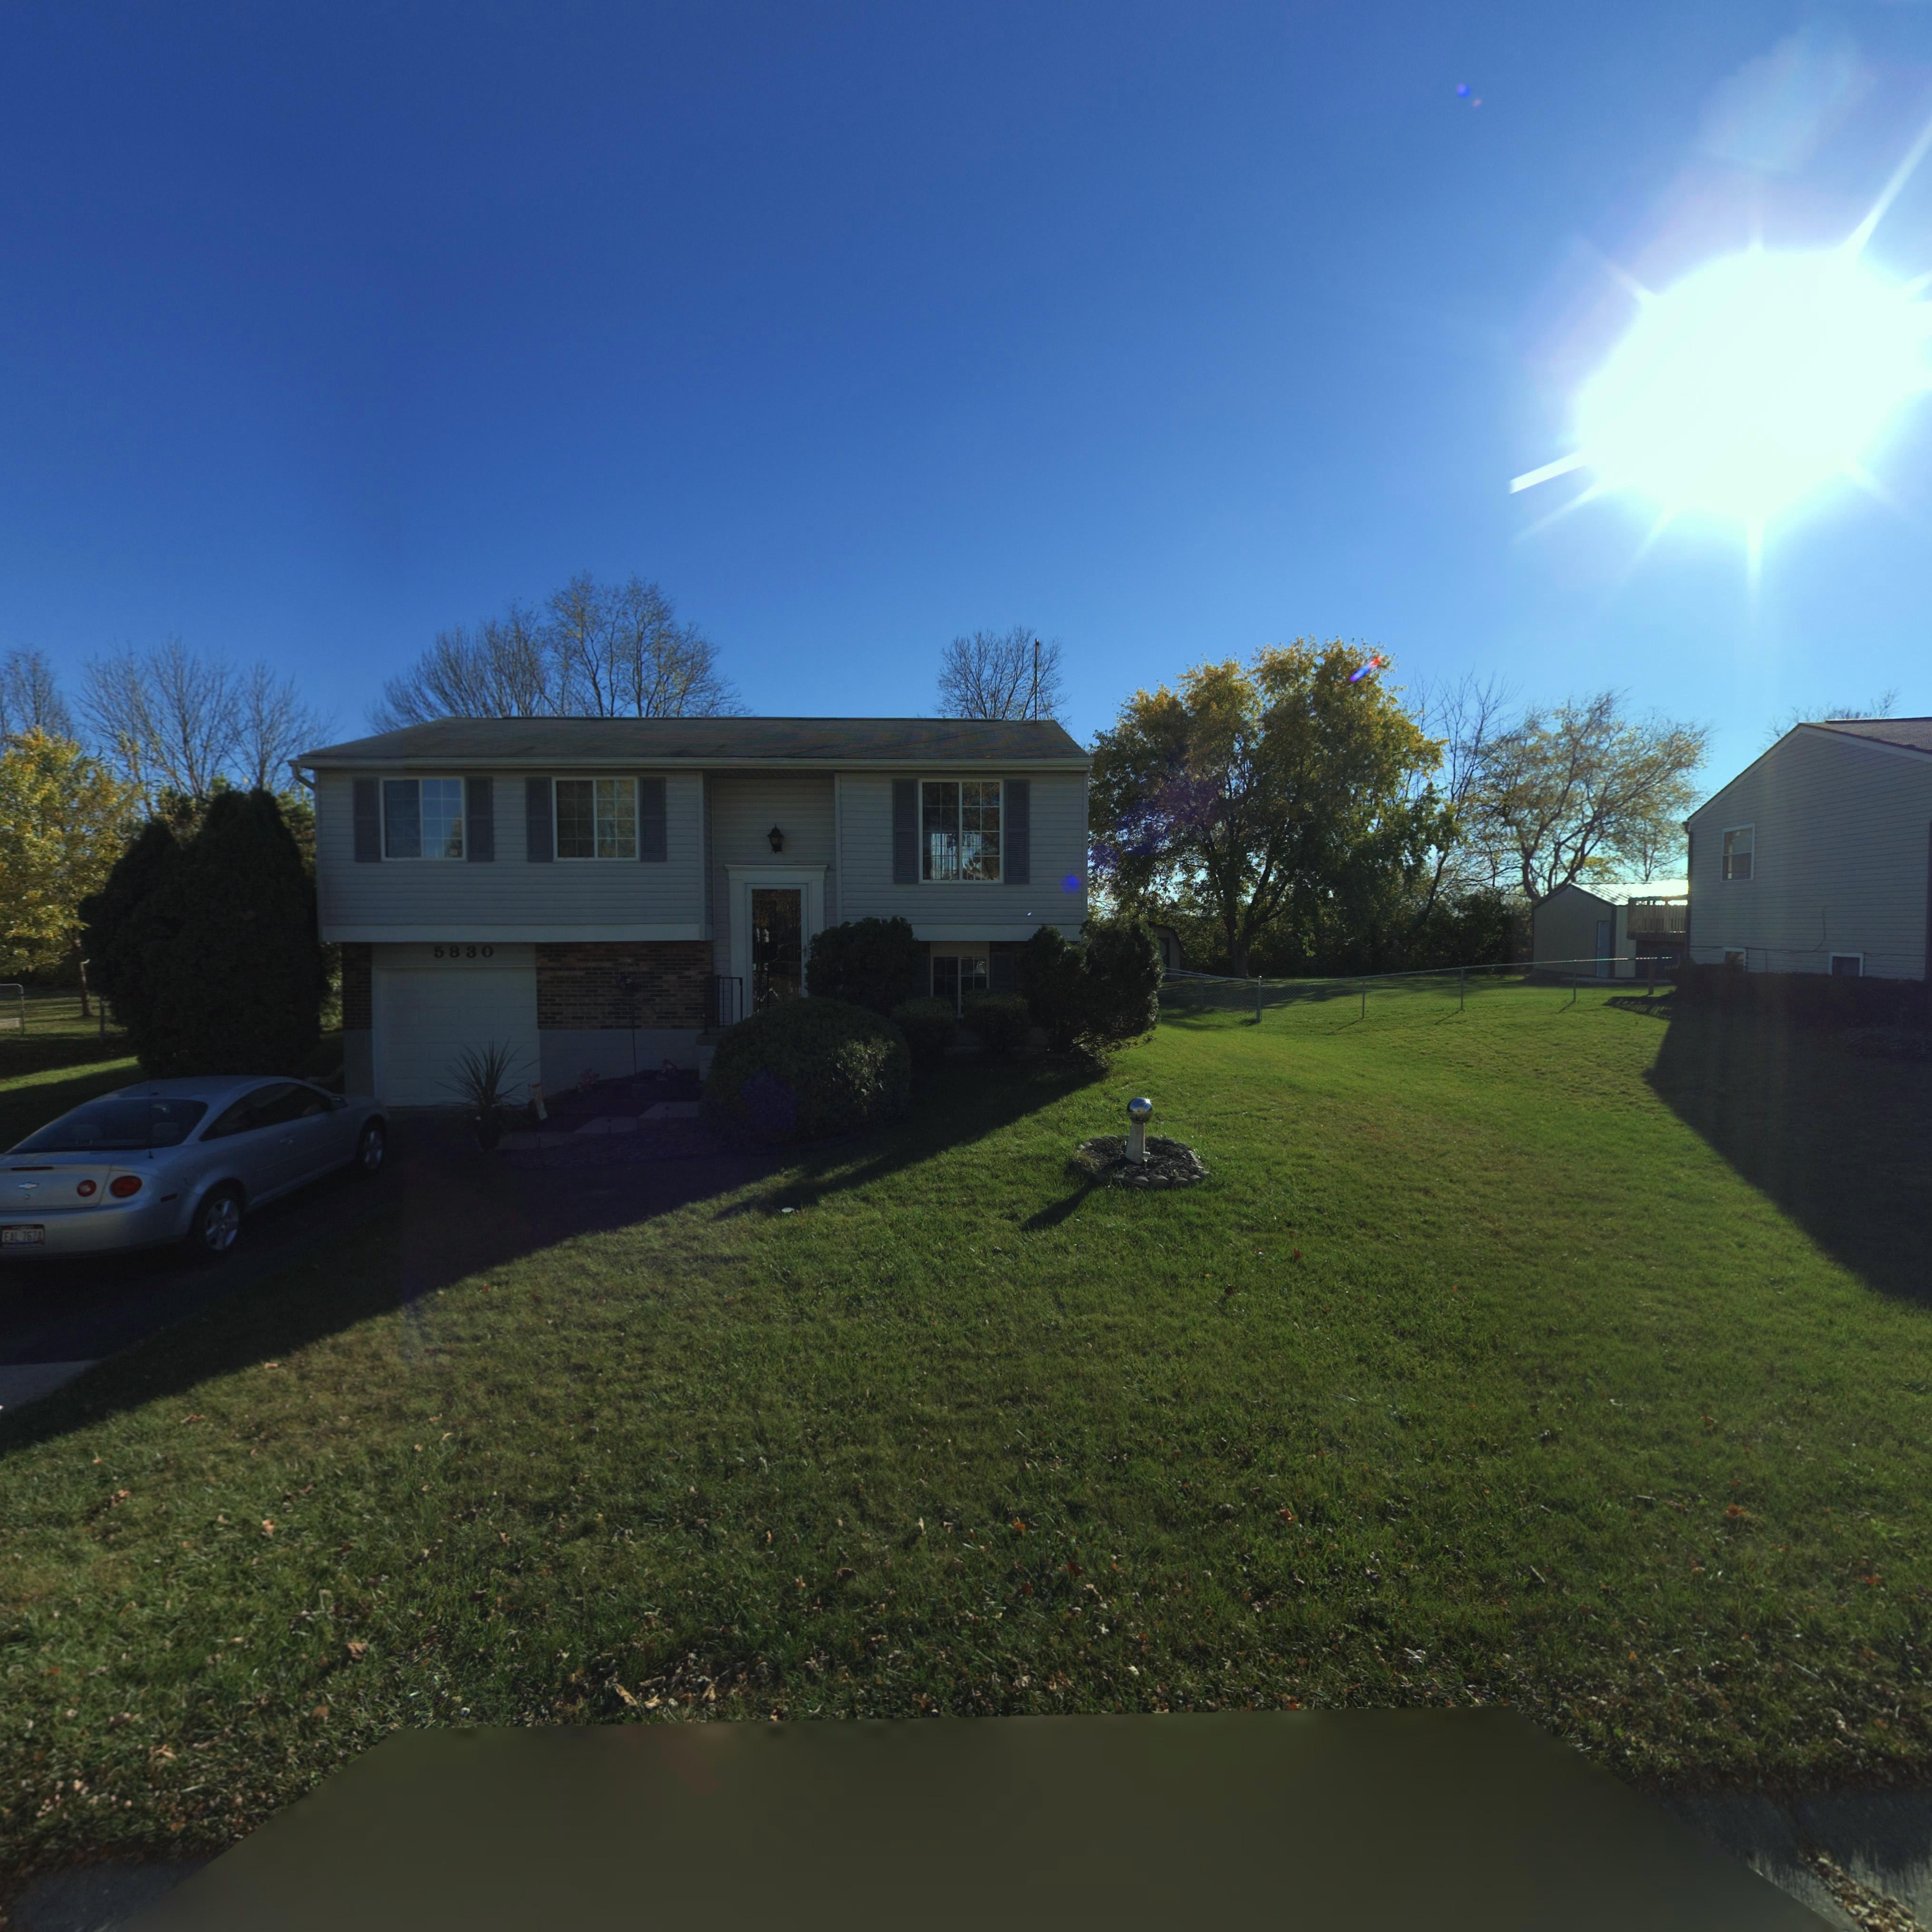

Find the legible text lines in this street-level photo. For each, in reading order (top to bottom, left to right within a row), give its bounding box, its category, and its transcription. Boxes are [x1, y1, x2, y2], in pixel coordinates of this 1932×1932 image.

[433, 944, 494, 959] StreetNumber: 5830